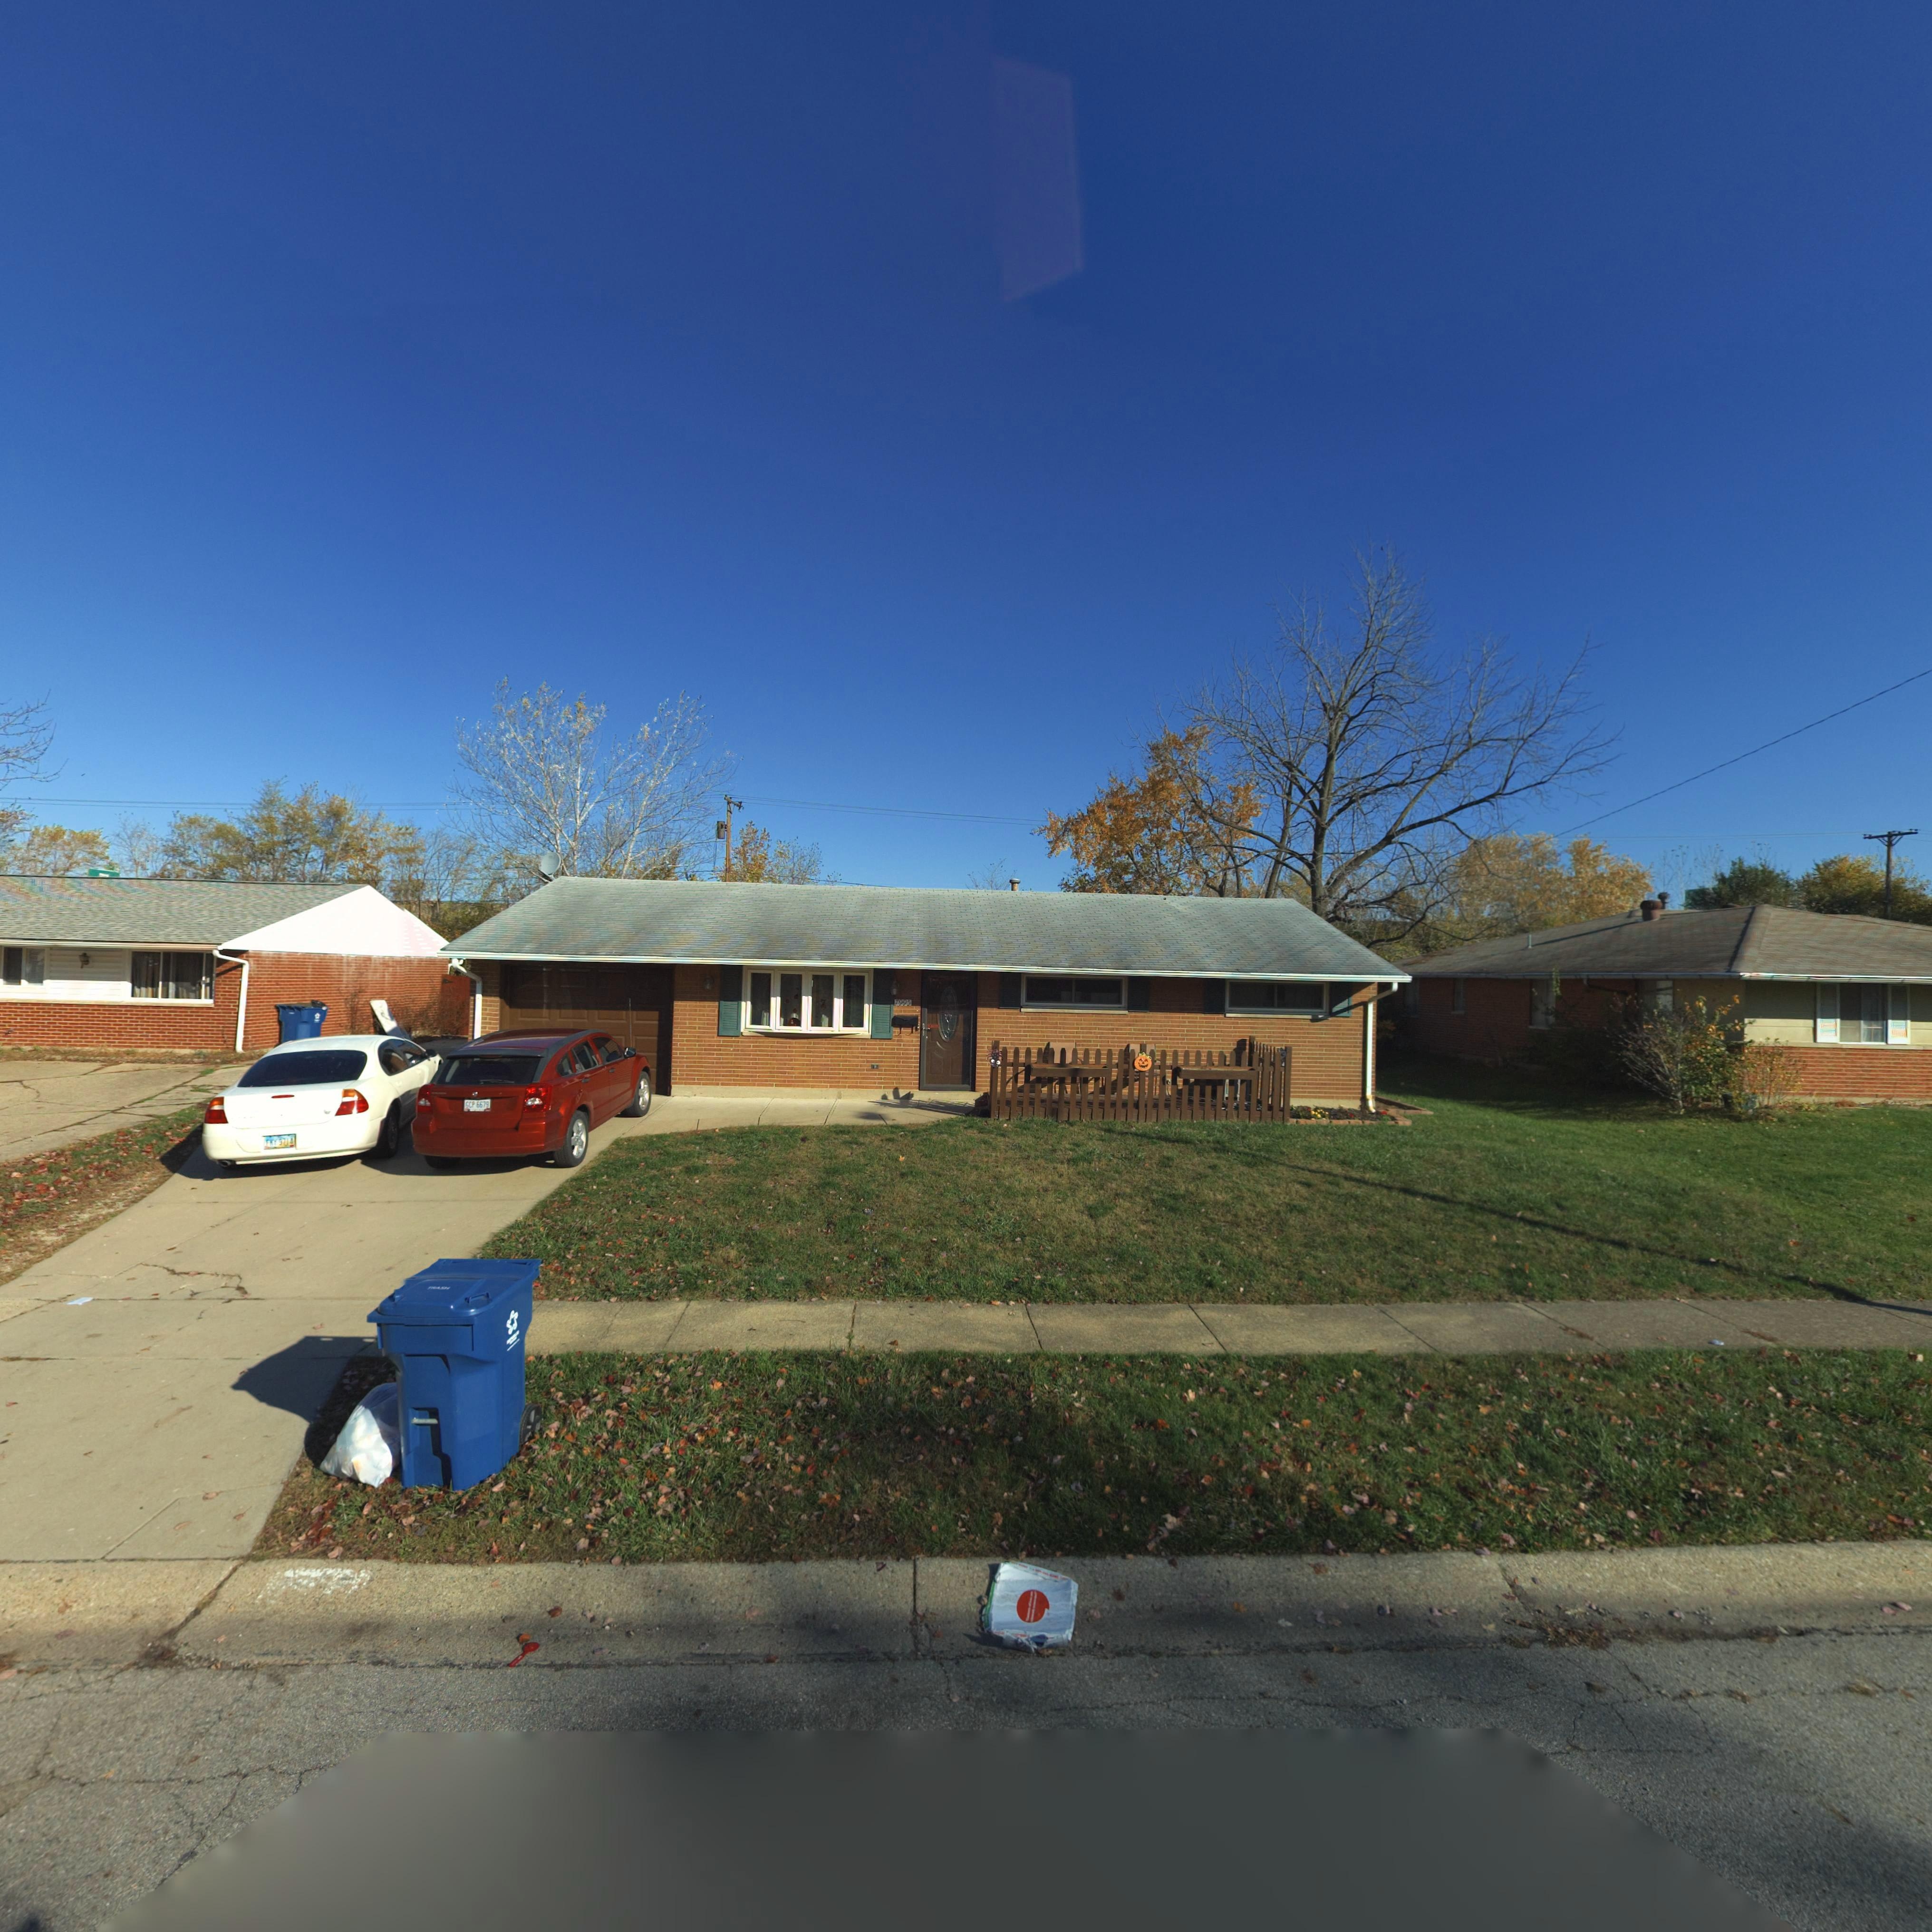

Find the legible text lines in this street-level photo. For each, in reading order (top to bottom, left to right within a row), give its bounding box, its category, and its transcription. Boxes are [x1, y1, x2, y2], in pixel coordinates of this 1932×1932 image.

[894, 999, 912, 1006] StreetNumber: 7995